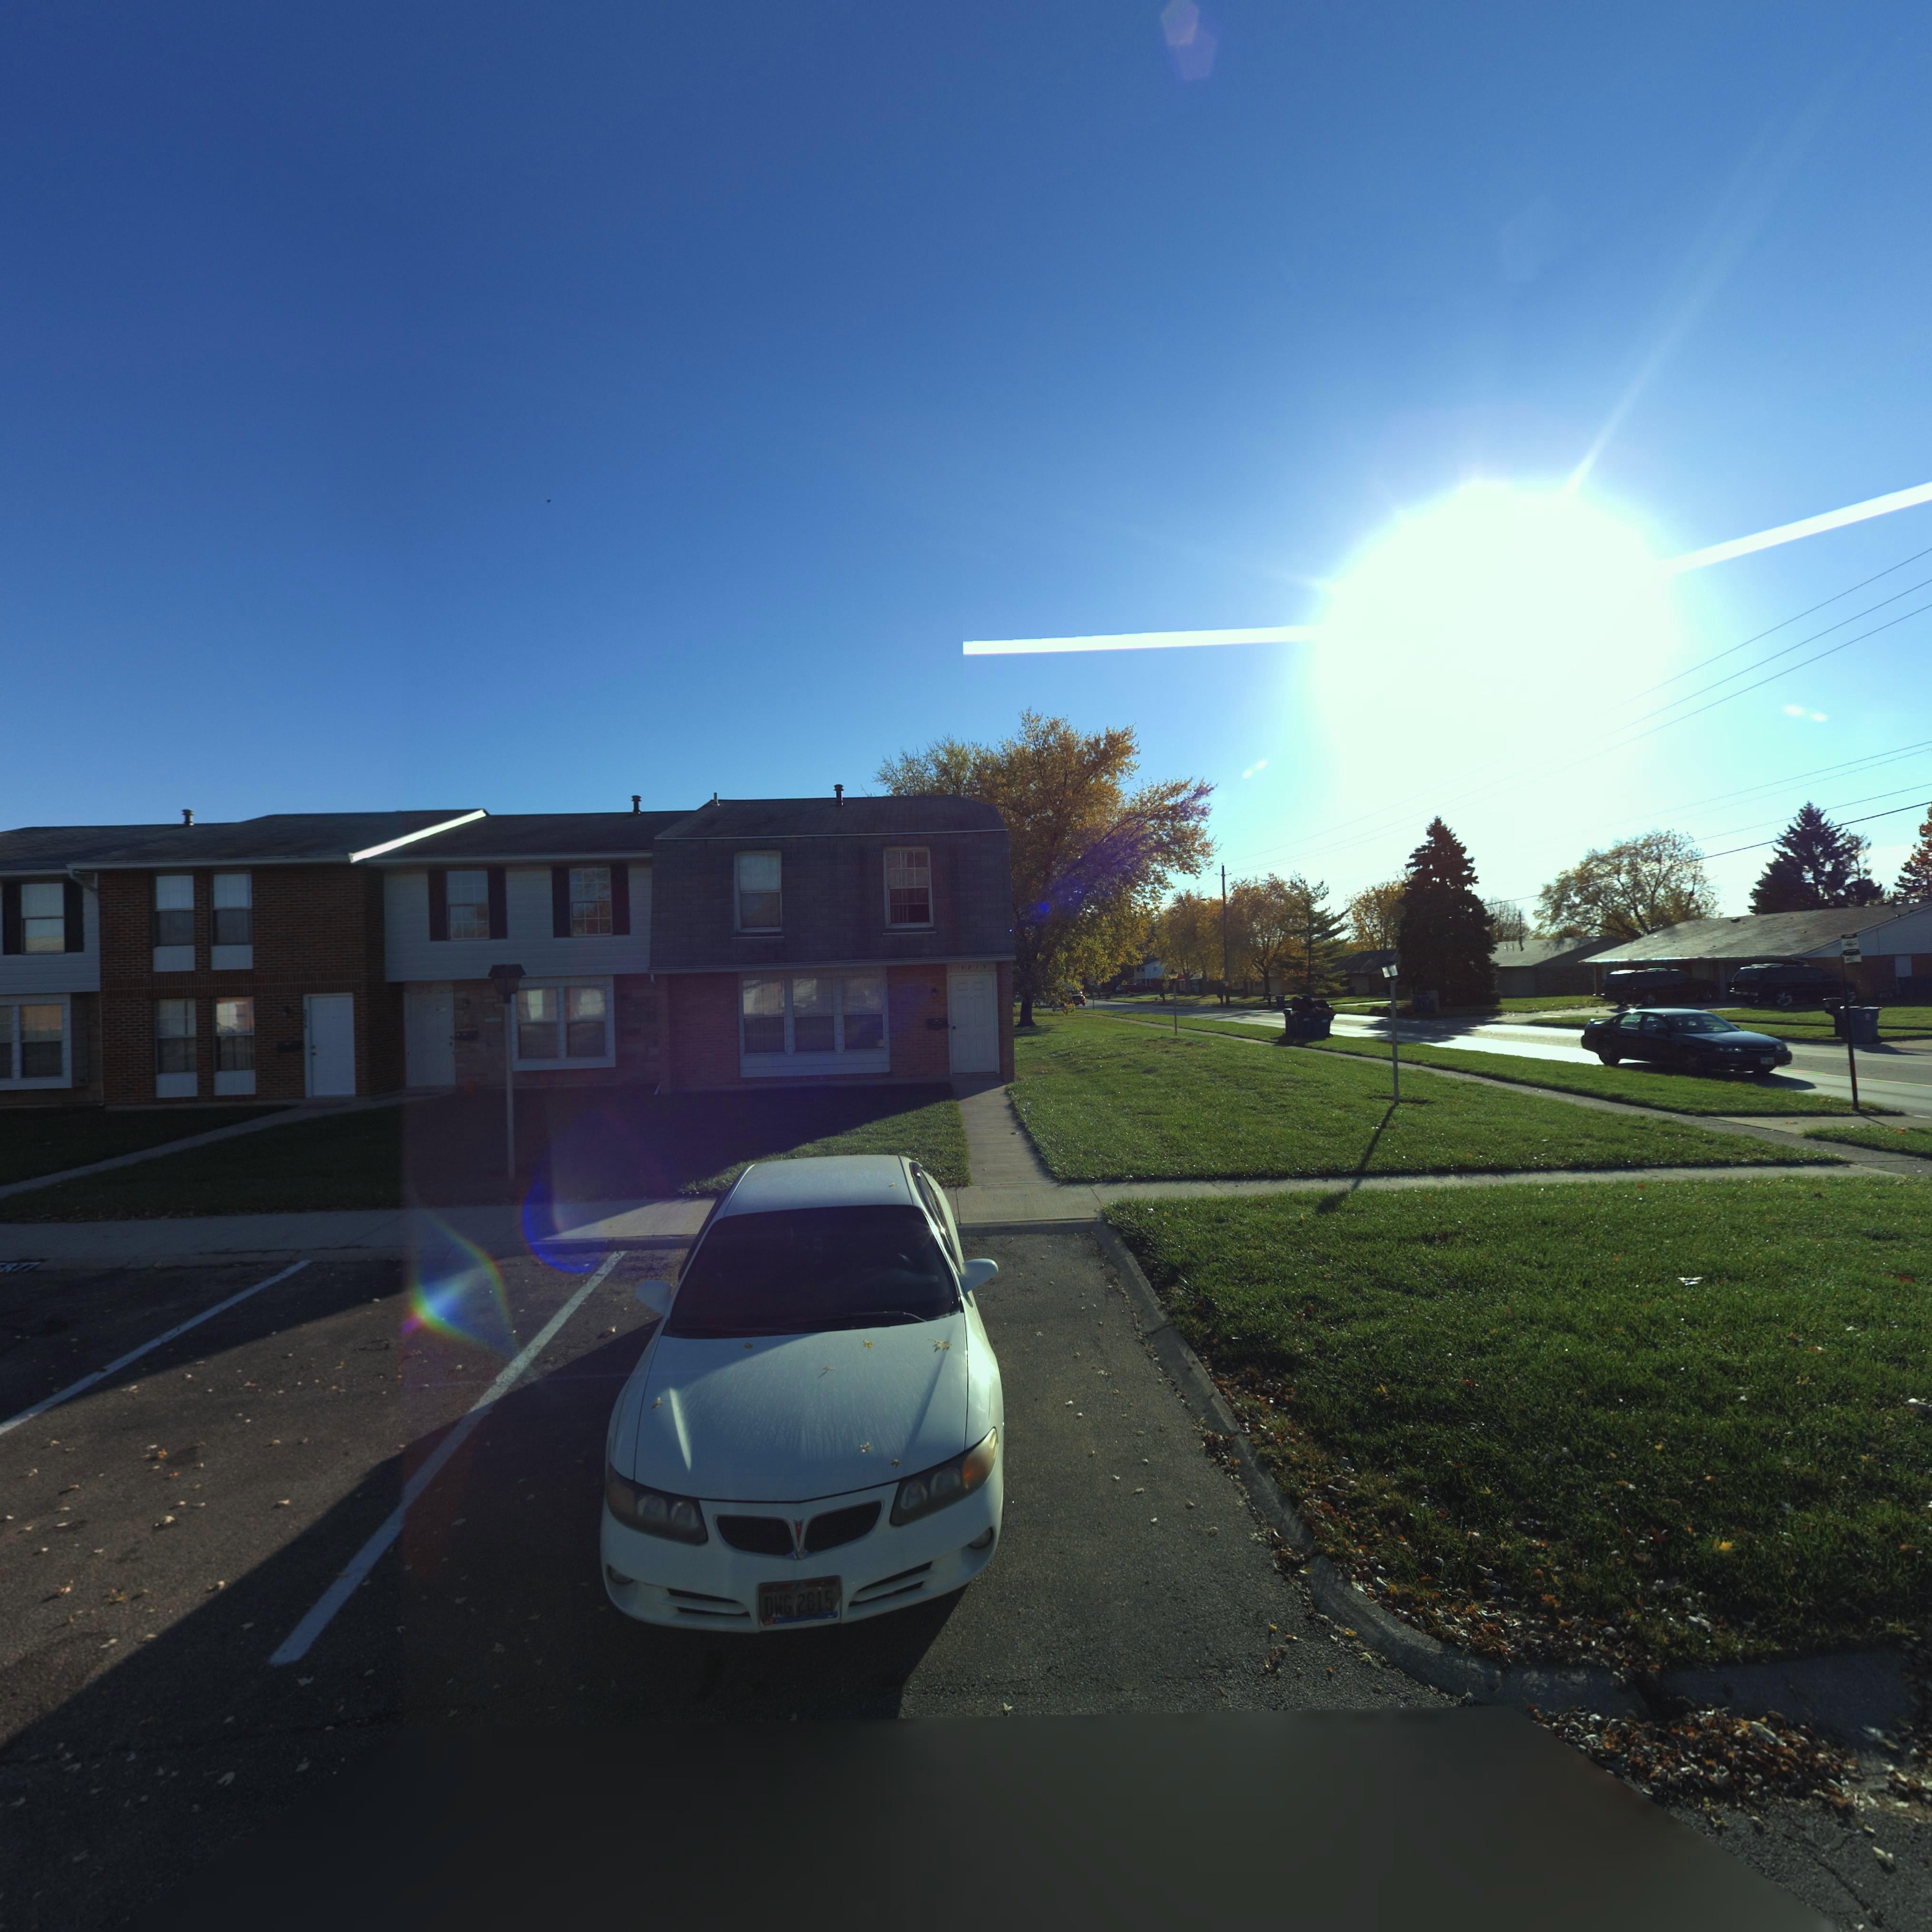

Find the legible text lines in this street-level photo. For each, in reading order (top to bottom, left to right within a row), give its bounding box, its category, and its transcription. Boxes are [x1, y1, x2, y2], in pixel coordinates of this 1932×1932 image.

[960, 963, 987, 971] StreetNumber: 5879